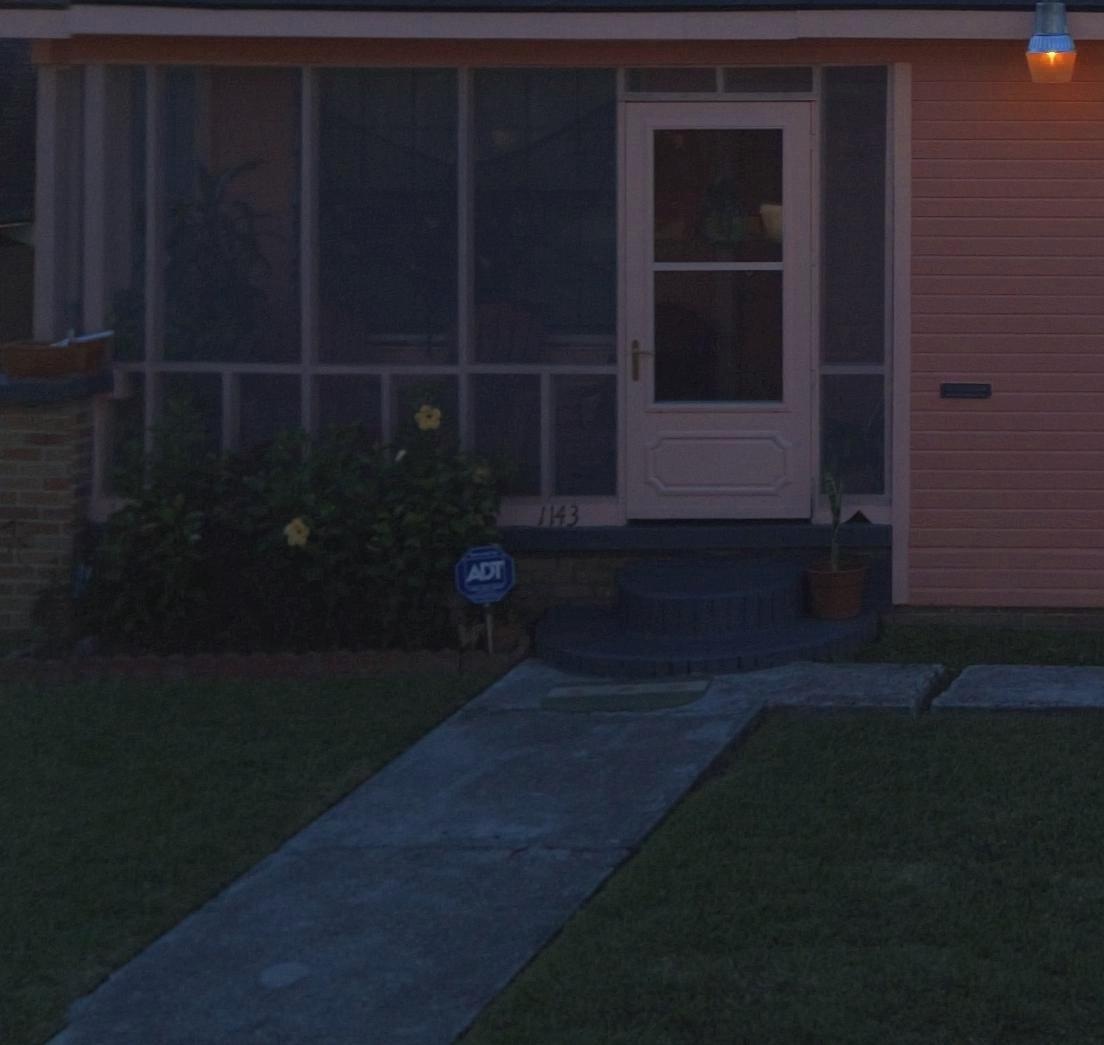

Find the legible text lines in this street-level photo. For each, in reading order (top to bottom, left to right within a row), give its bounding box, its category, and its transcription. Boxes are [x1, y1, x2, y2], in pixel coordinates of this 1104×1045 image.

[534, 501, 582, 530] StreetNumber: 1143
[461, 558, 507, 586] None: ADT